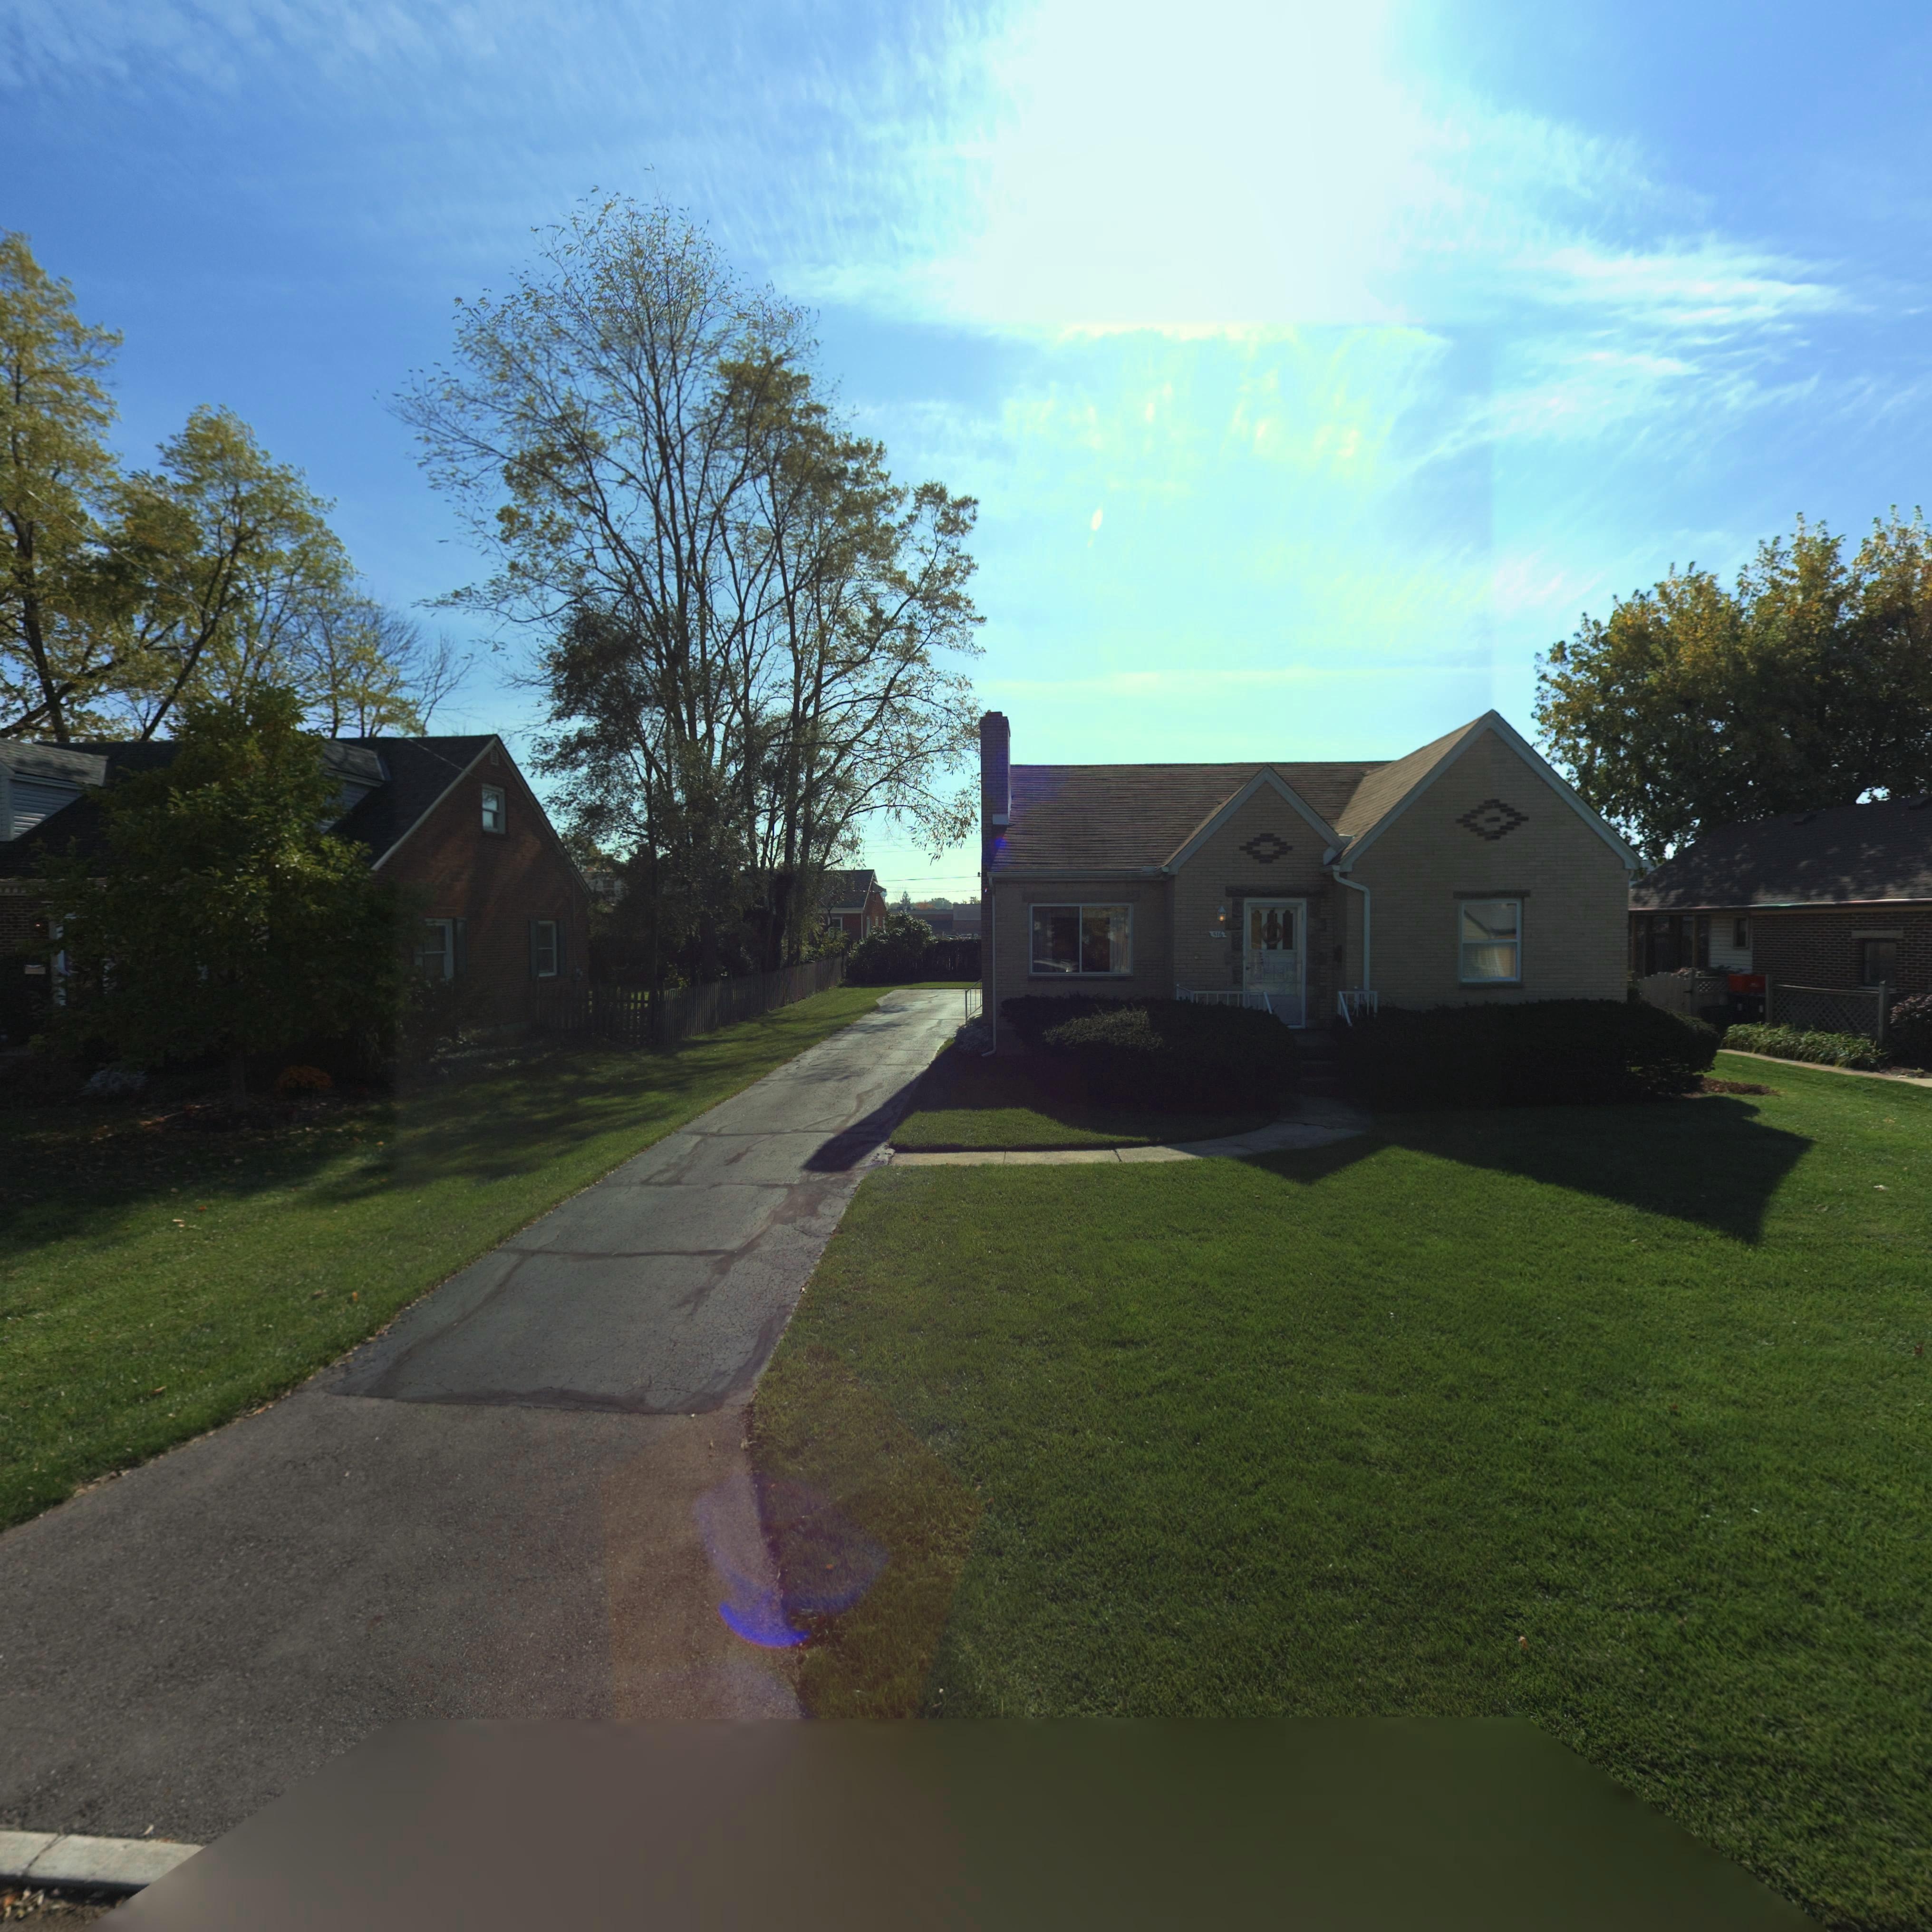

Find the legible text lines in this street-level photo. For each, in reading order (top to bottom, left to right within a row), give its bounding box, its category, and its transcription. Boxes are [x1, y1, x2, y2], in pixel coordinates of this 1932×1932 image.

[1212, 931, 1223, 937] StreetNumber: 516